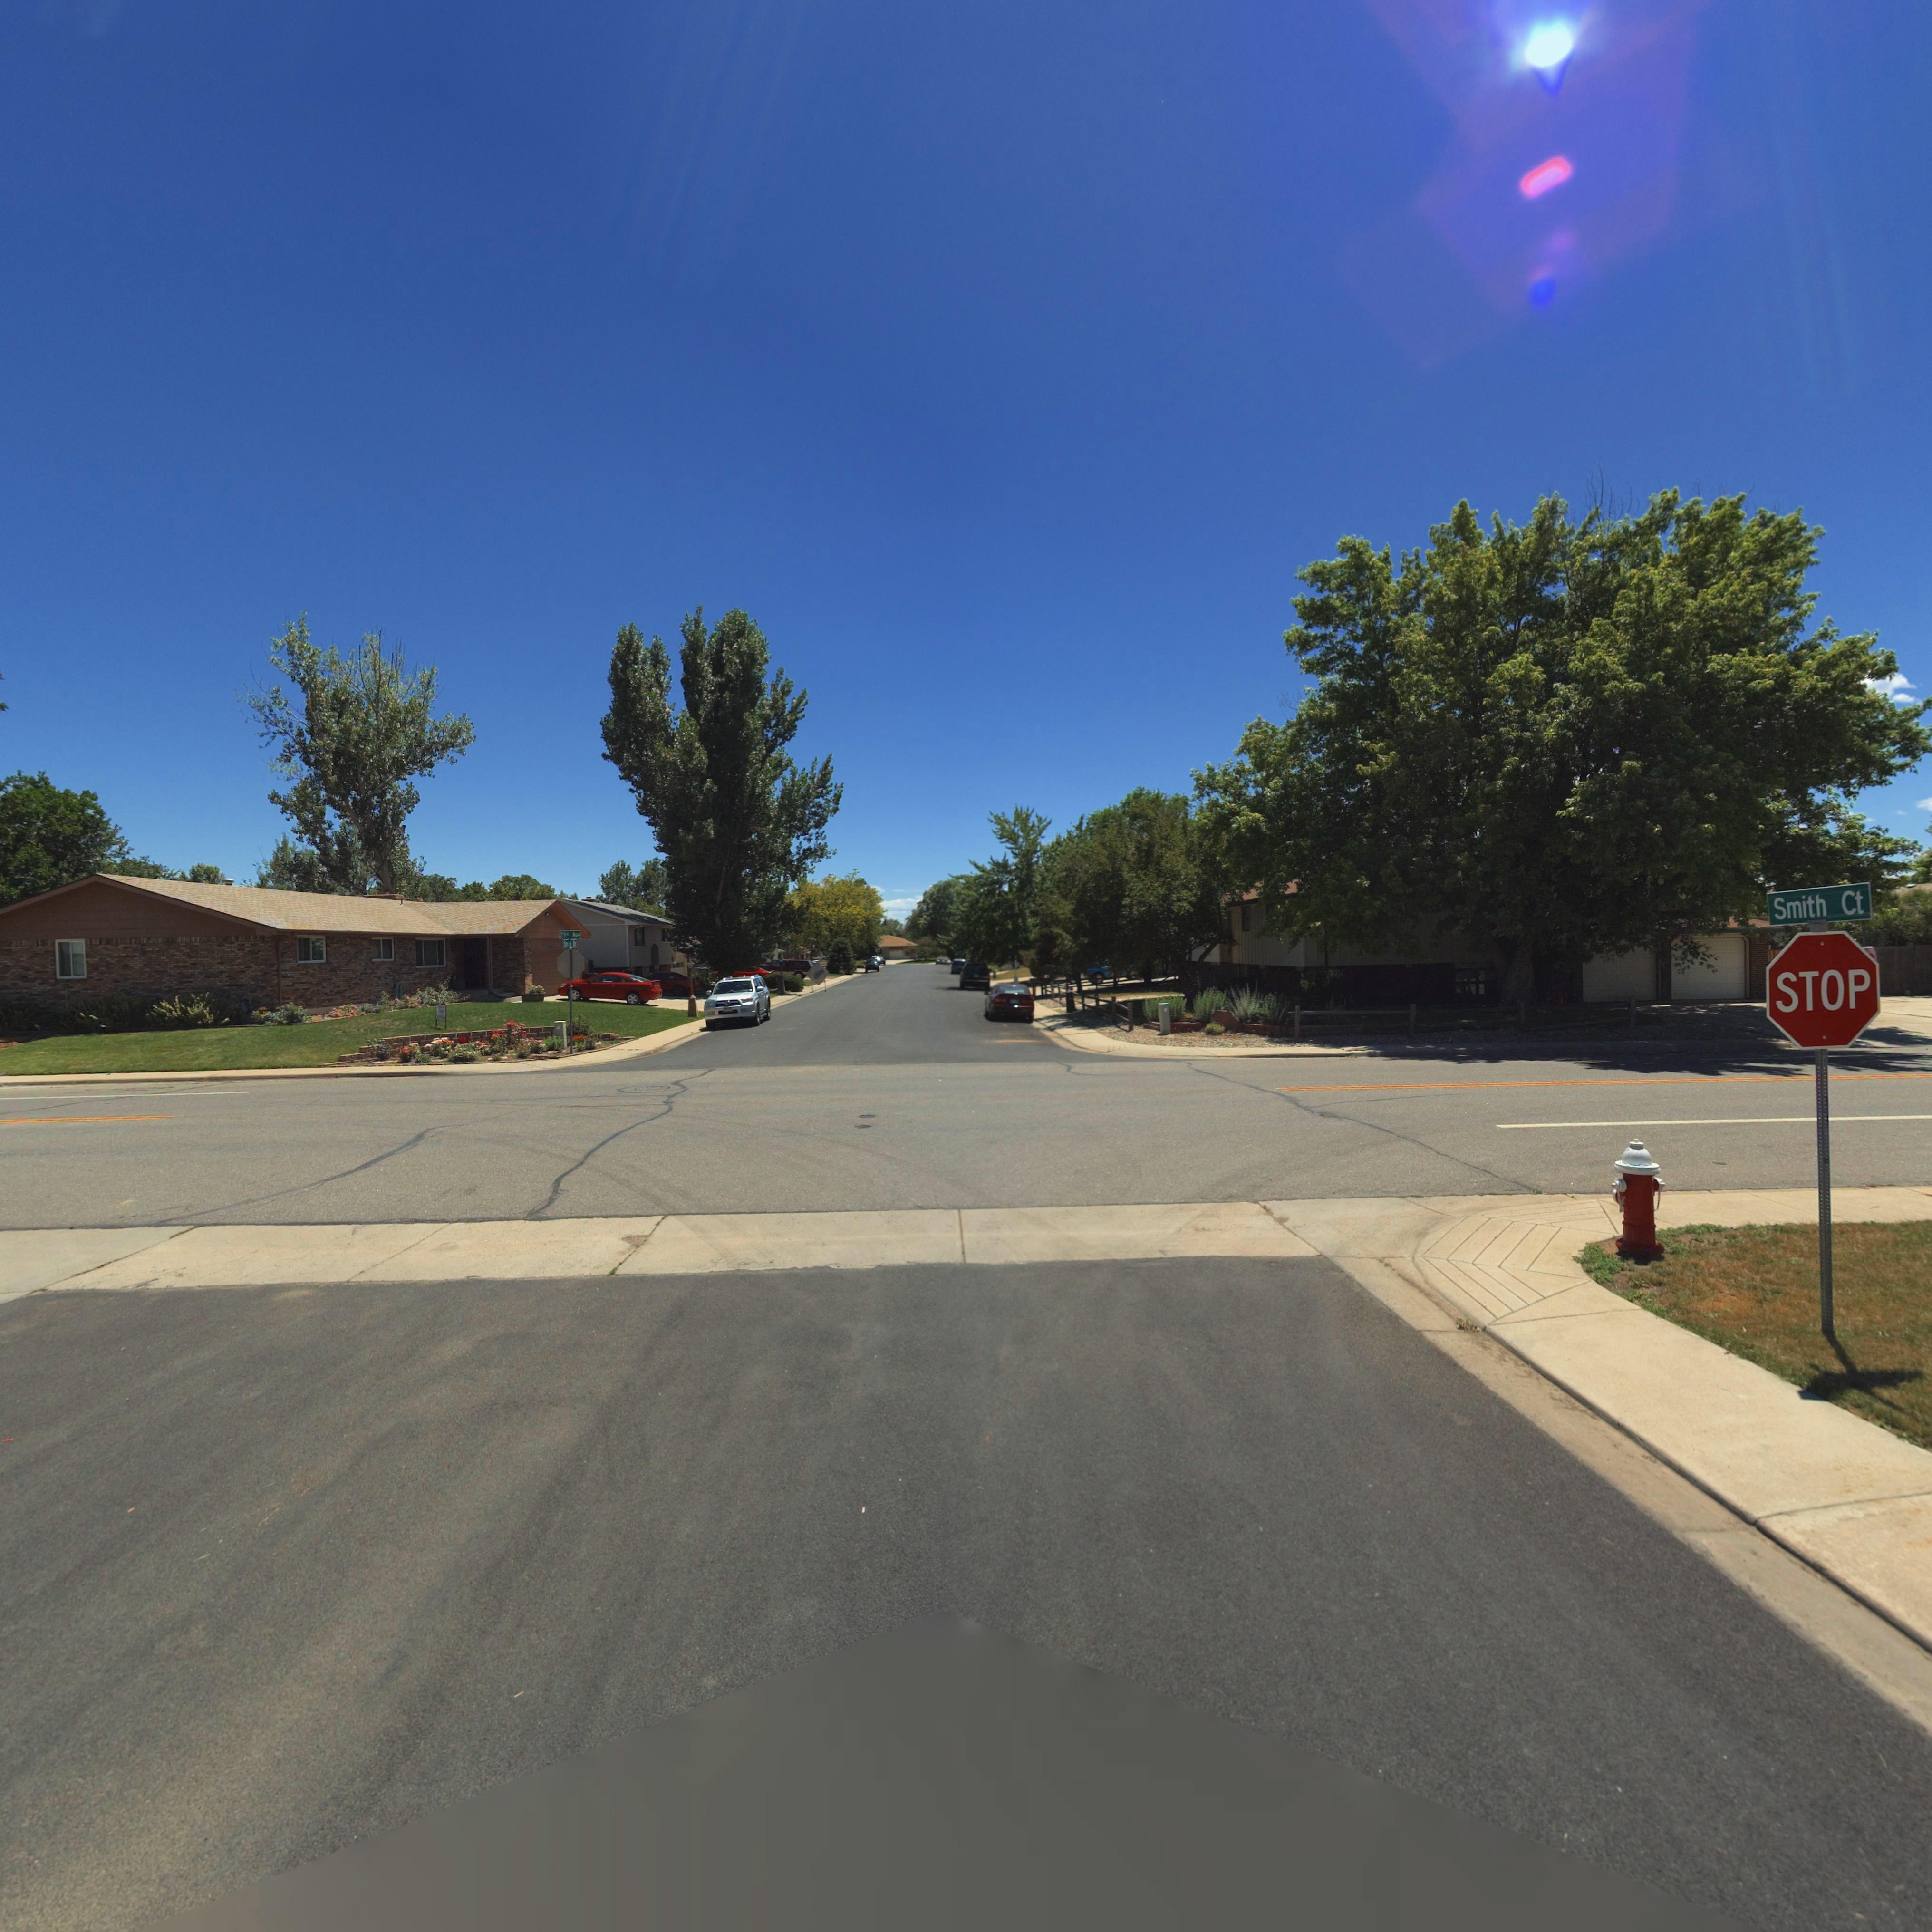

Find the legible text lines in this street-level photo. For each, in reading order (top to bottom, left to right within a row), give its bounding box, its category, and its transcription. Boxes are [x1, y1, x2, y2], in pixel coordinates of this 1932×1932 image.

[1773, 889, 1864, 920] StreetName: Smith Ct
[559, 931, 580, 938] StreetName: 23rd Ave
[563, 940, 577, 947] StreetName: Smith Dr